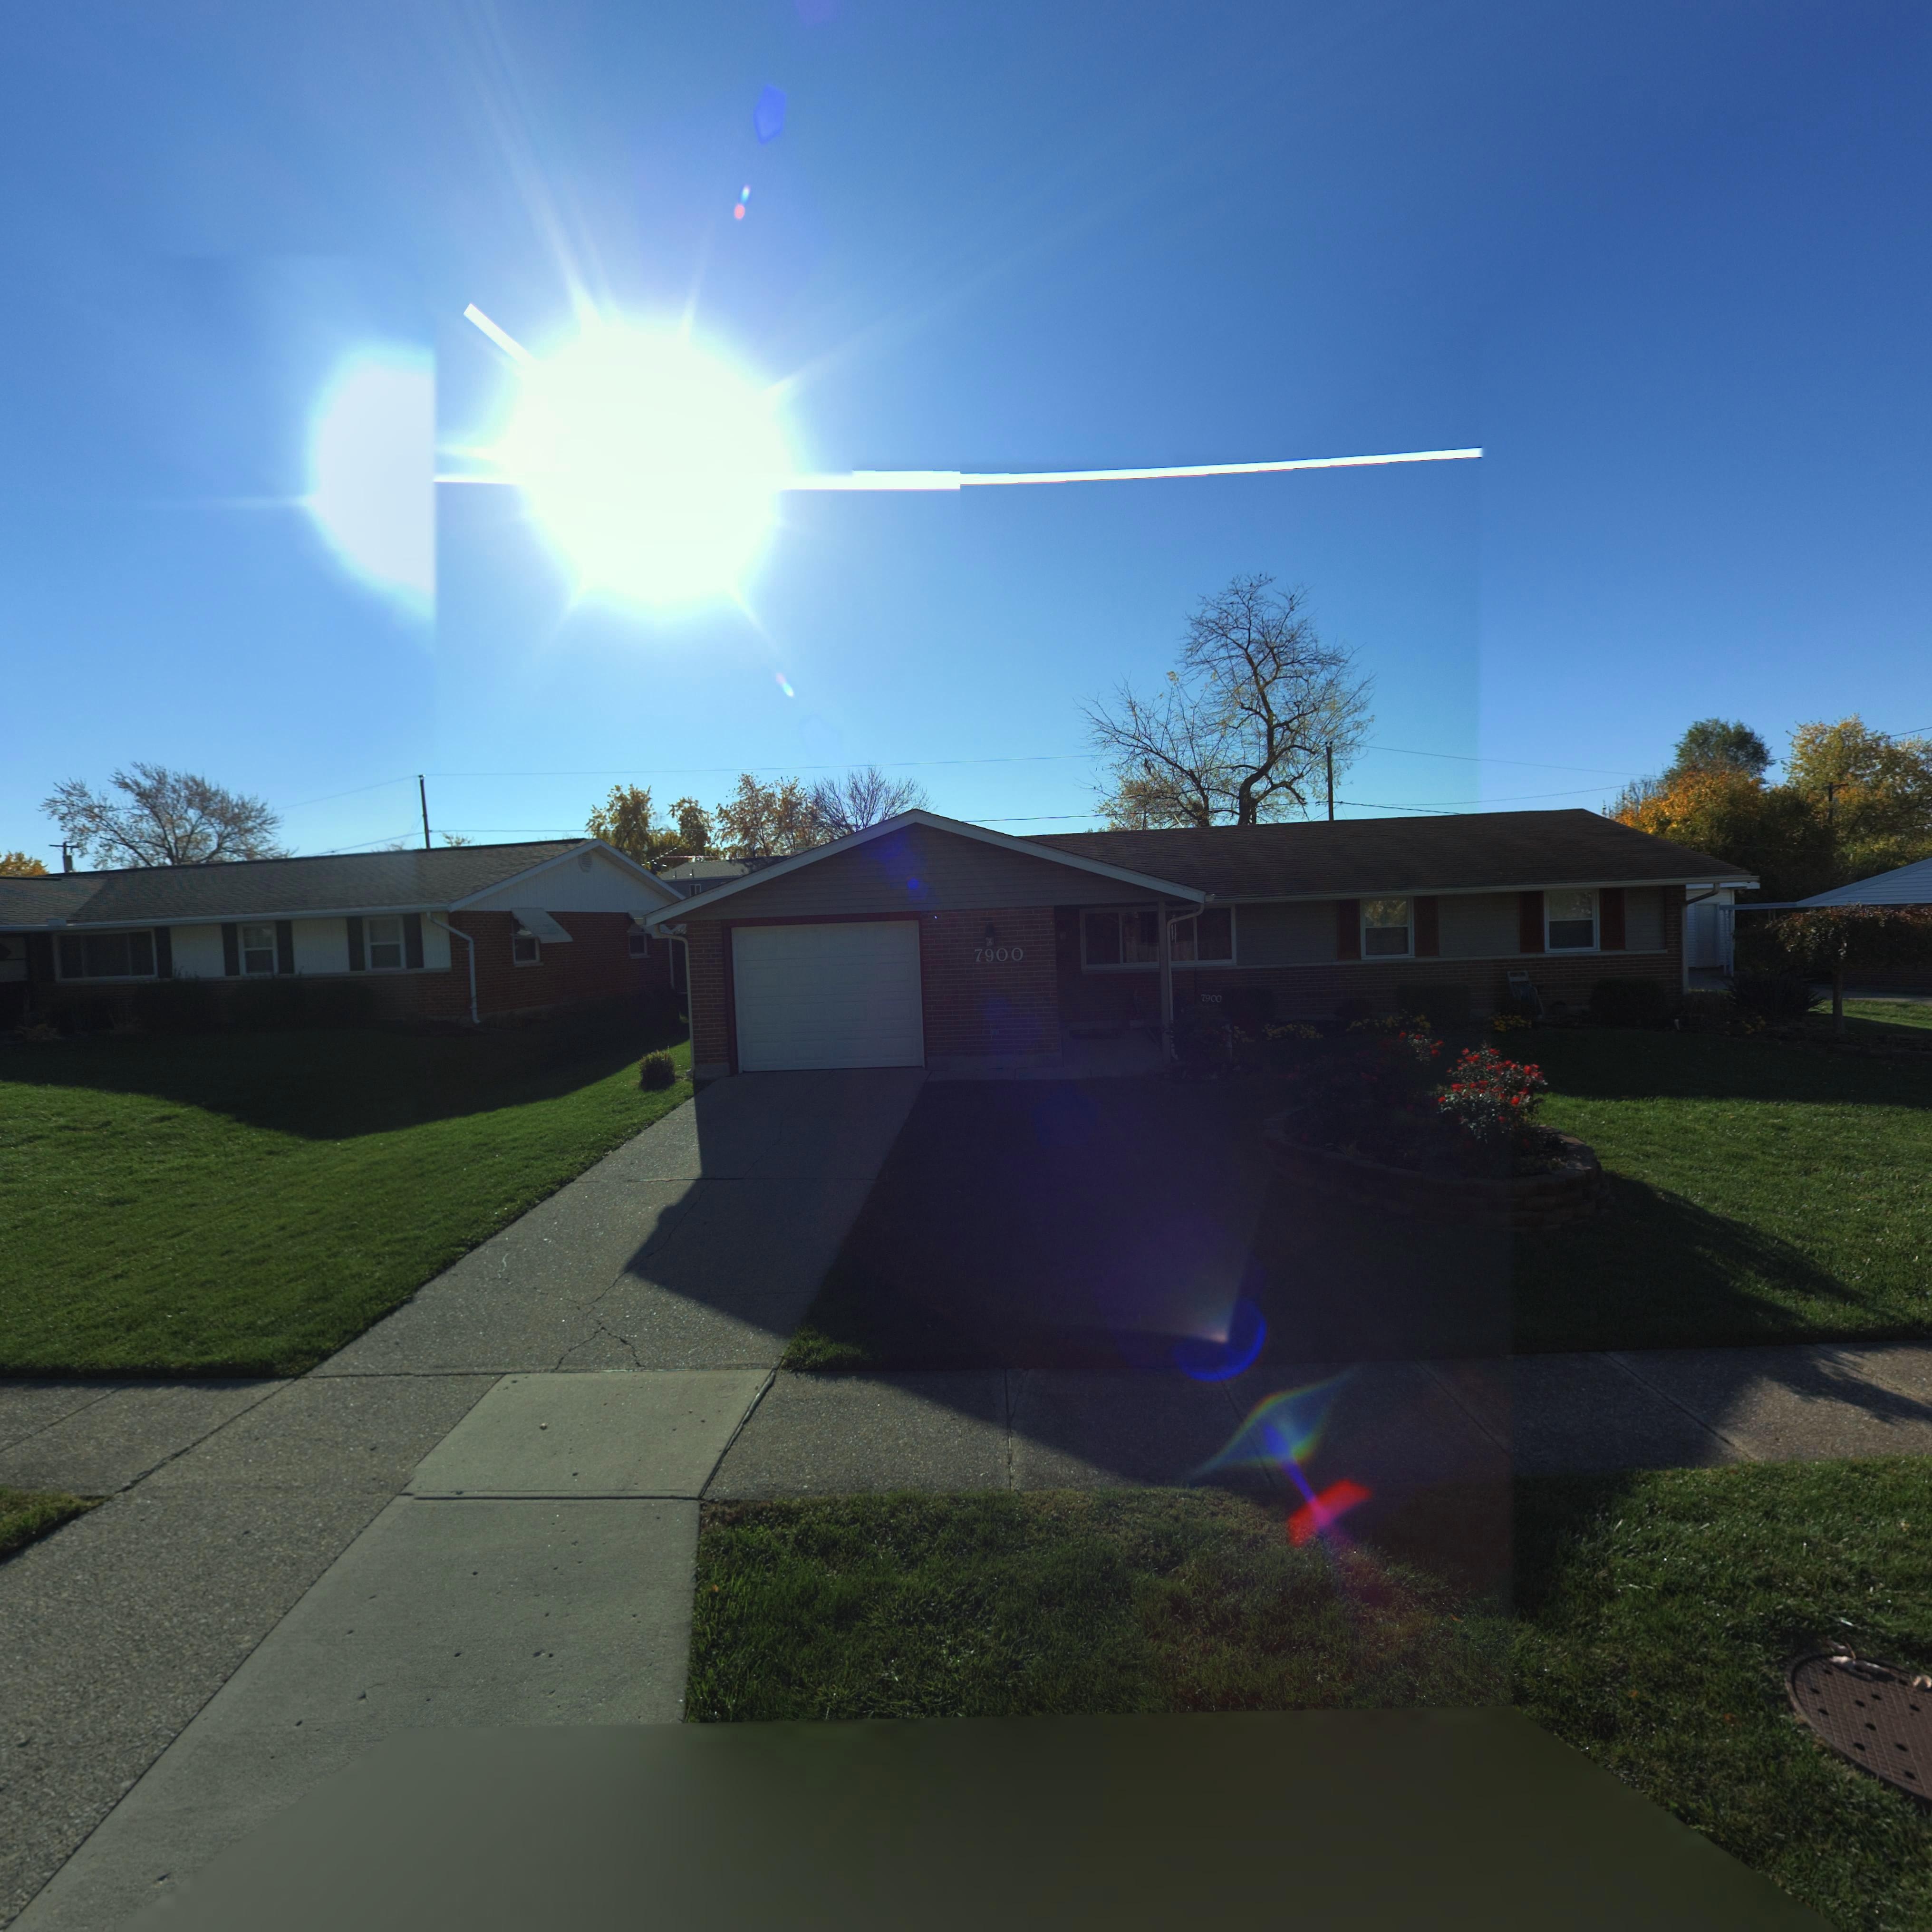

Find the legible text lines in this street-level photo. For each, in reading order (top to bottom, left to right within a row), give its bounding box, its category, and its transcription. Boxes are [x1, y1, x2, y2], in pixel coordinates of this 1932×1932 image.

[973, 946, 1025, 964] StreetNumber: 7900
[1199, 993, 1223, 1004] StreetNumber: 7900